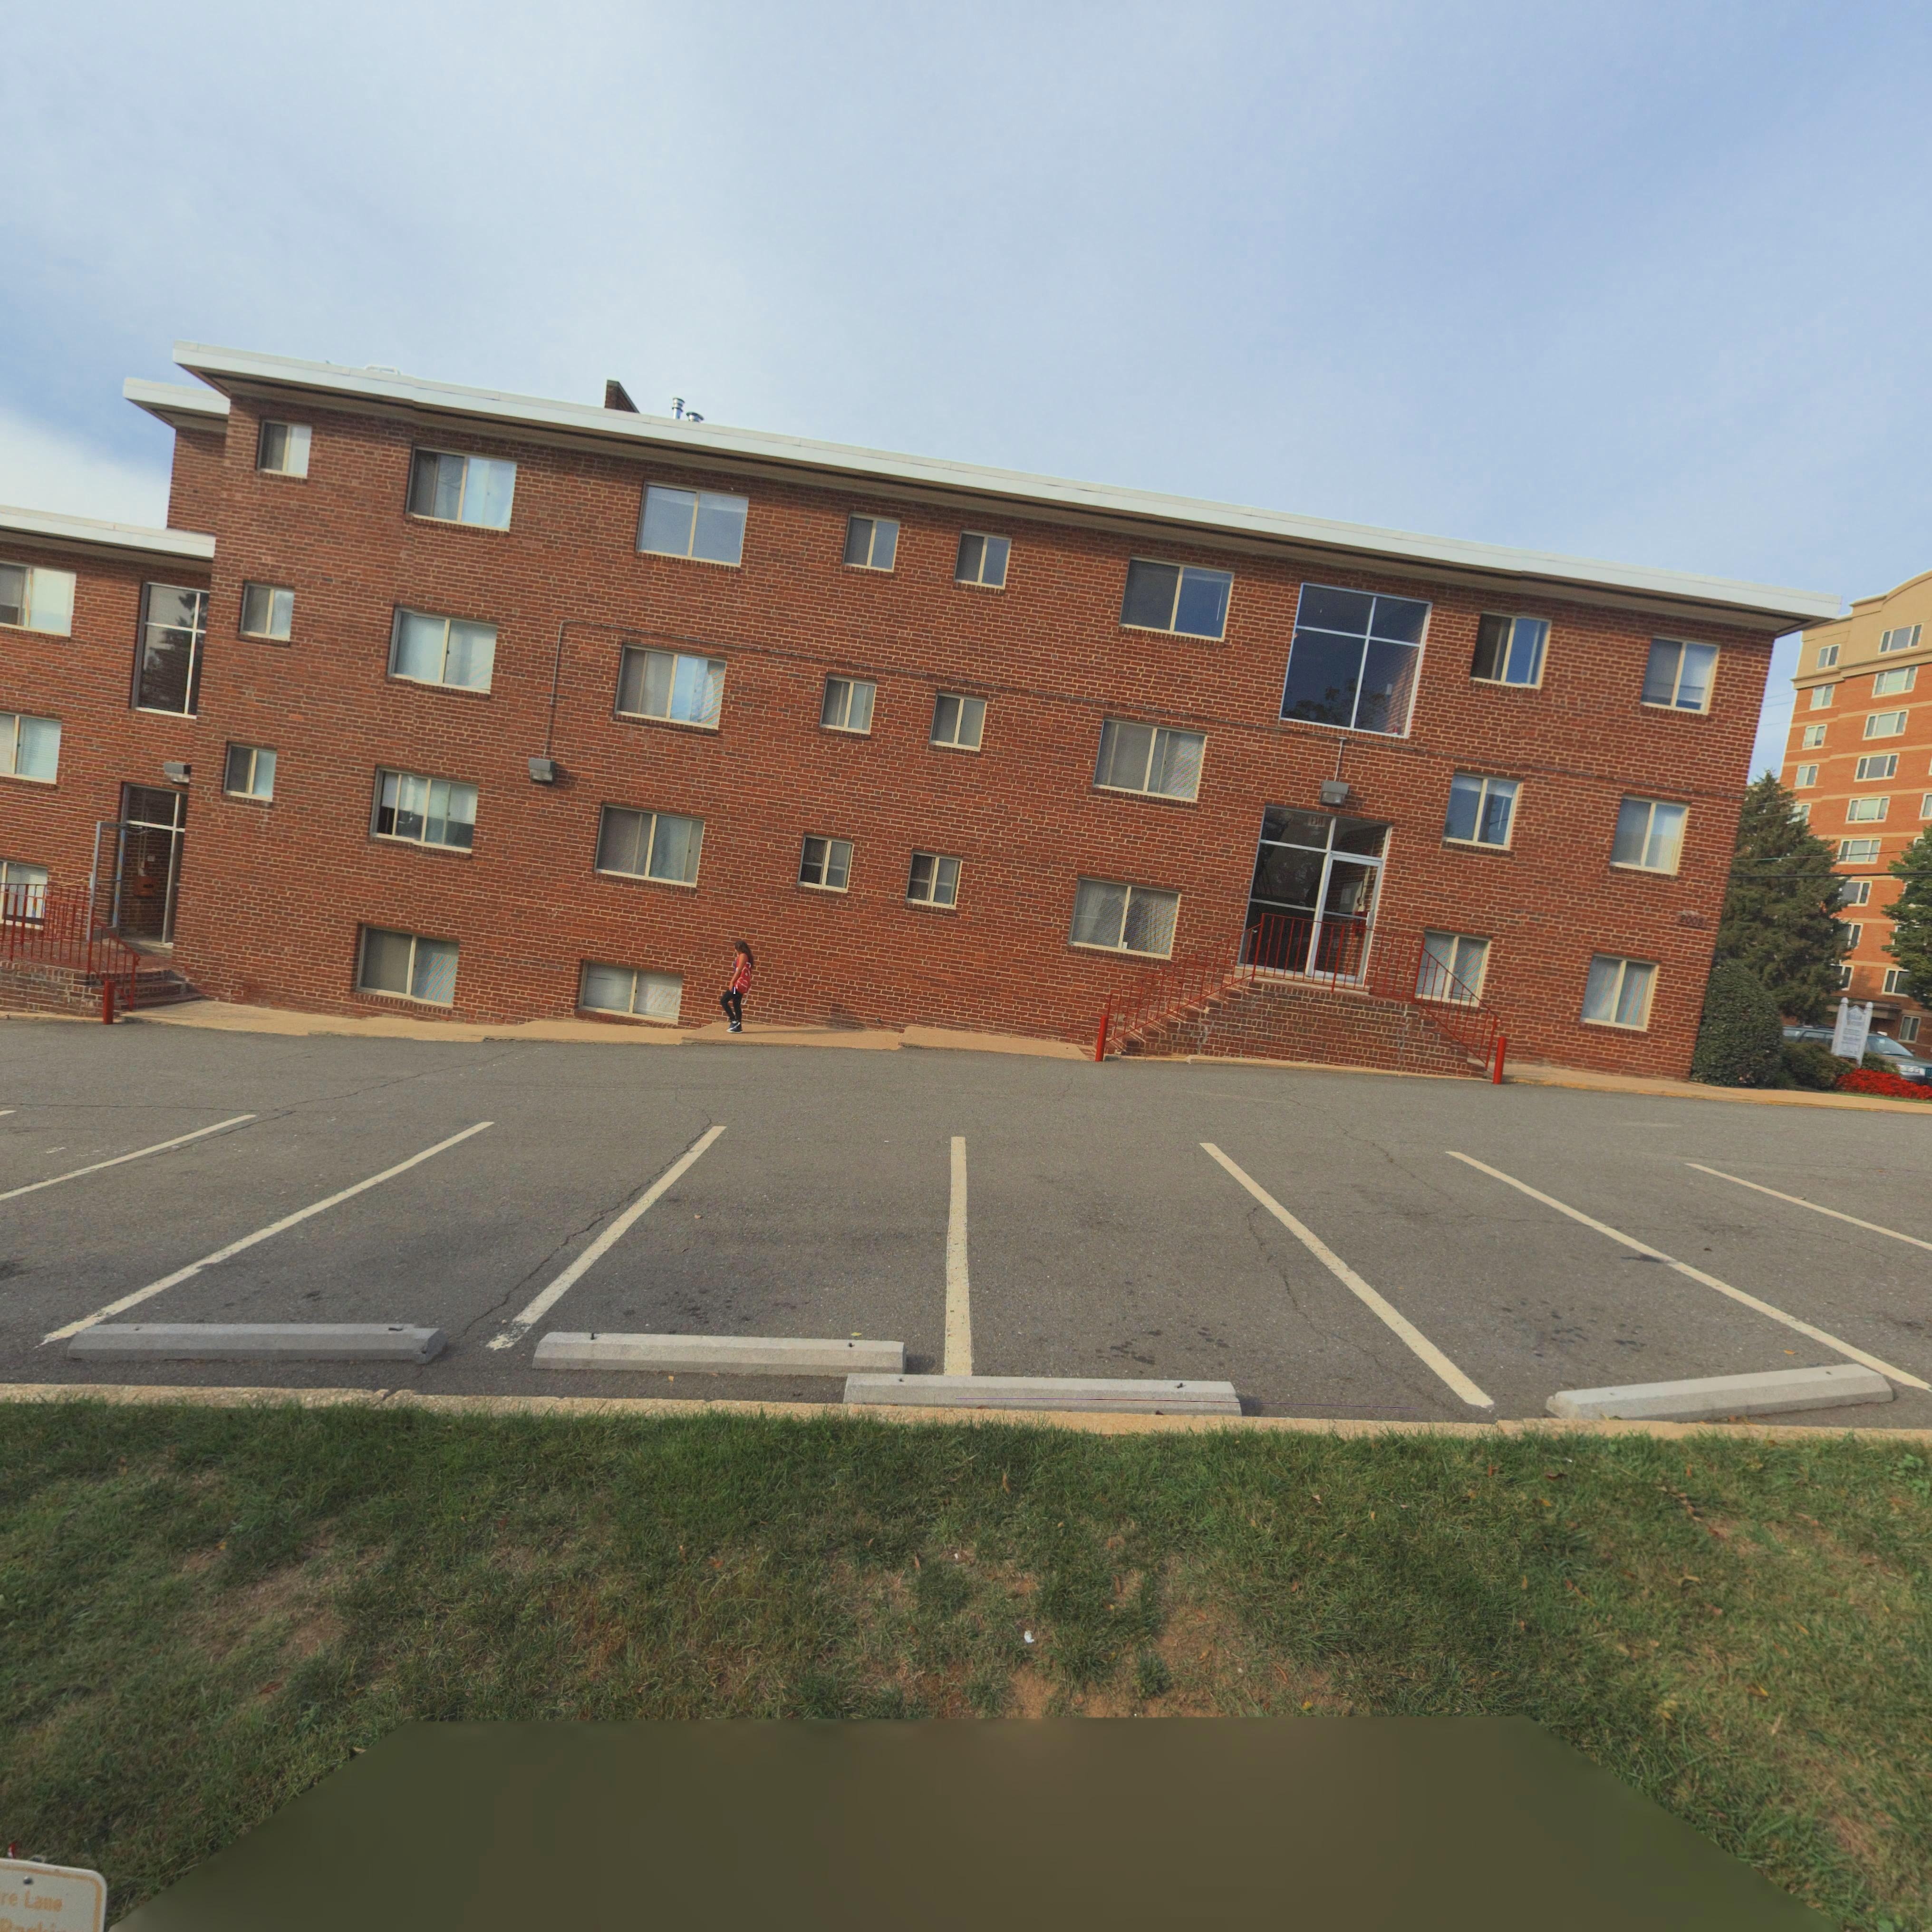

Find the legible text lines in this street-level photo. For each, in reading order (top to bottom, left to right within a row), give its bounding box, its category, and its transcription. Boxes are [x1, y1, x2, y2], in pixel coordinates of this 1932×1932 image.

[1310, 815, 1325, 826] None: EXIT
[1679, 914, 1706, 927] StreetNumber: 2008